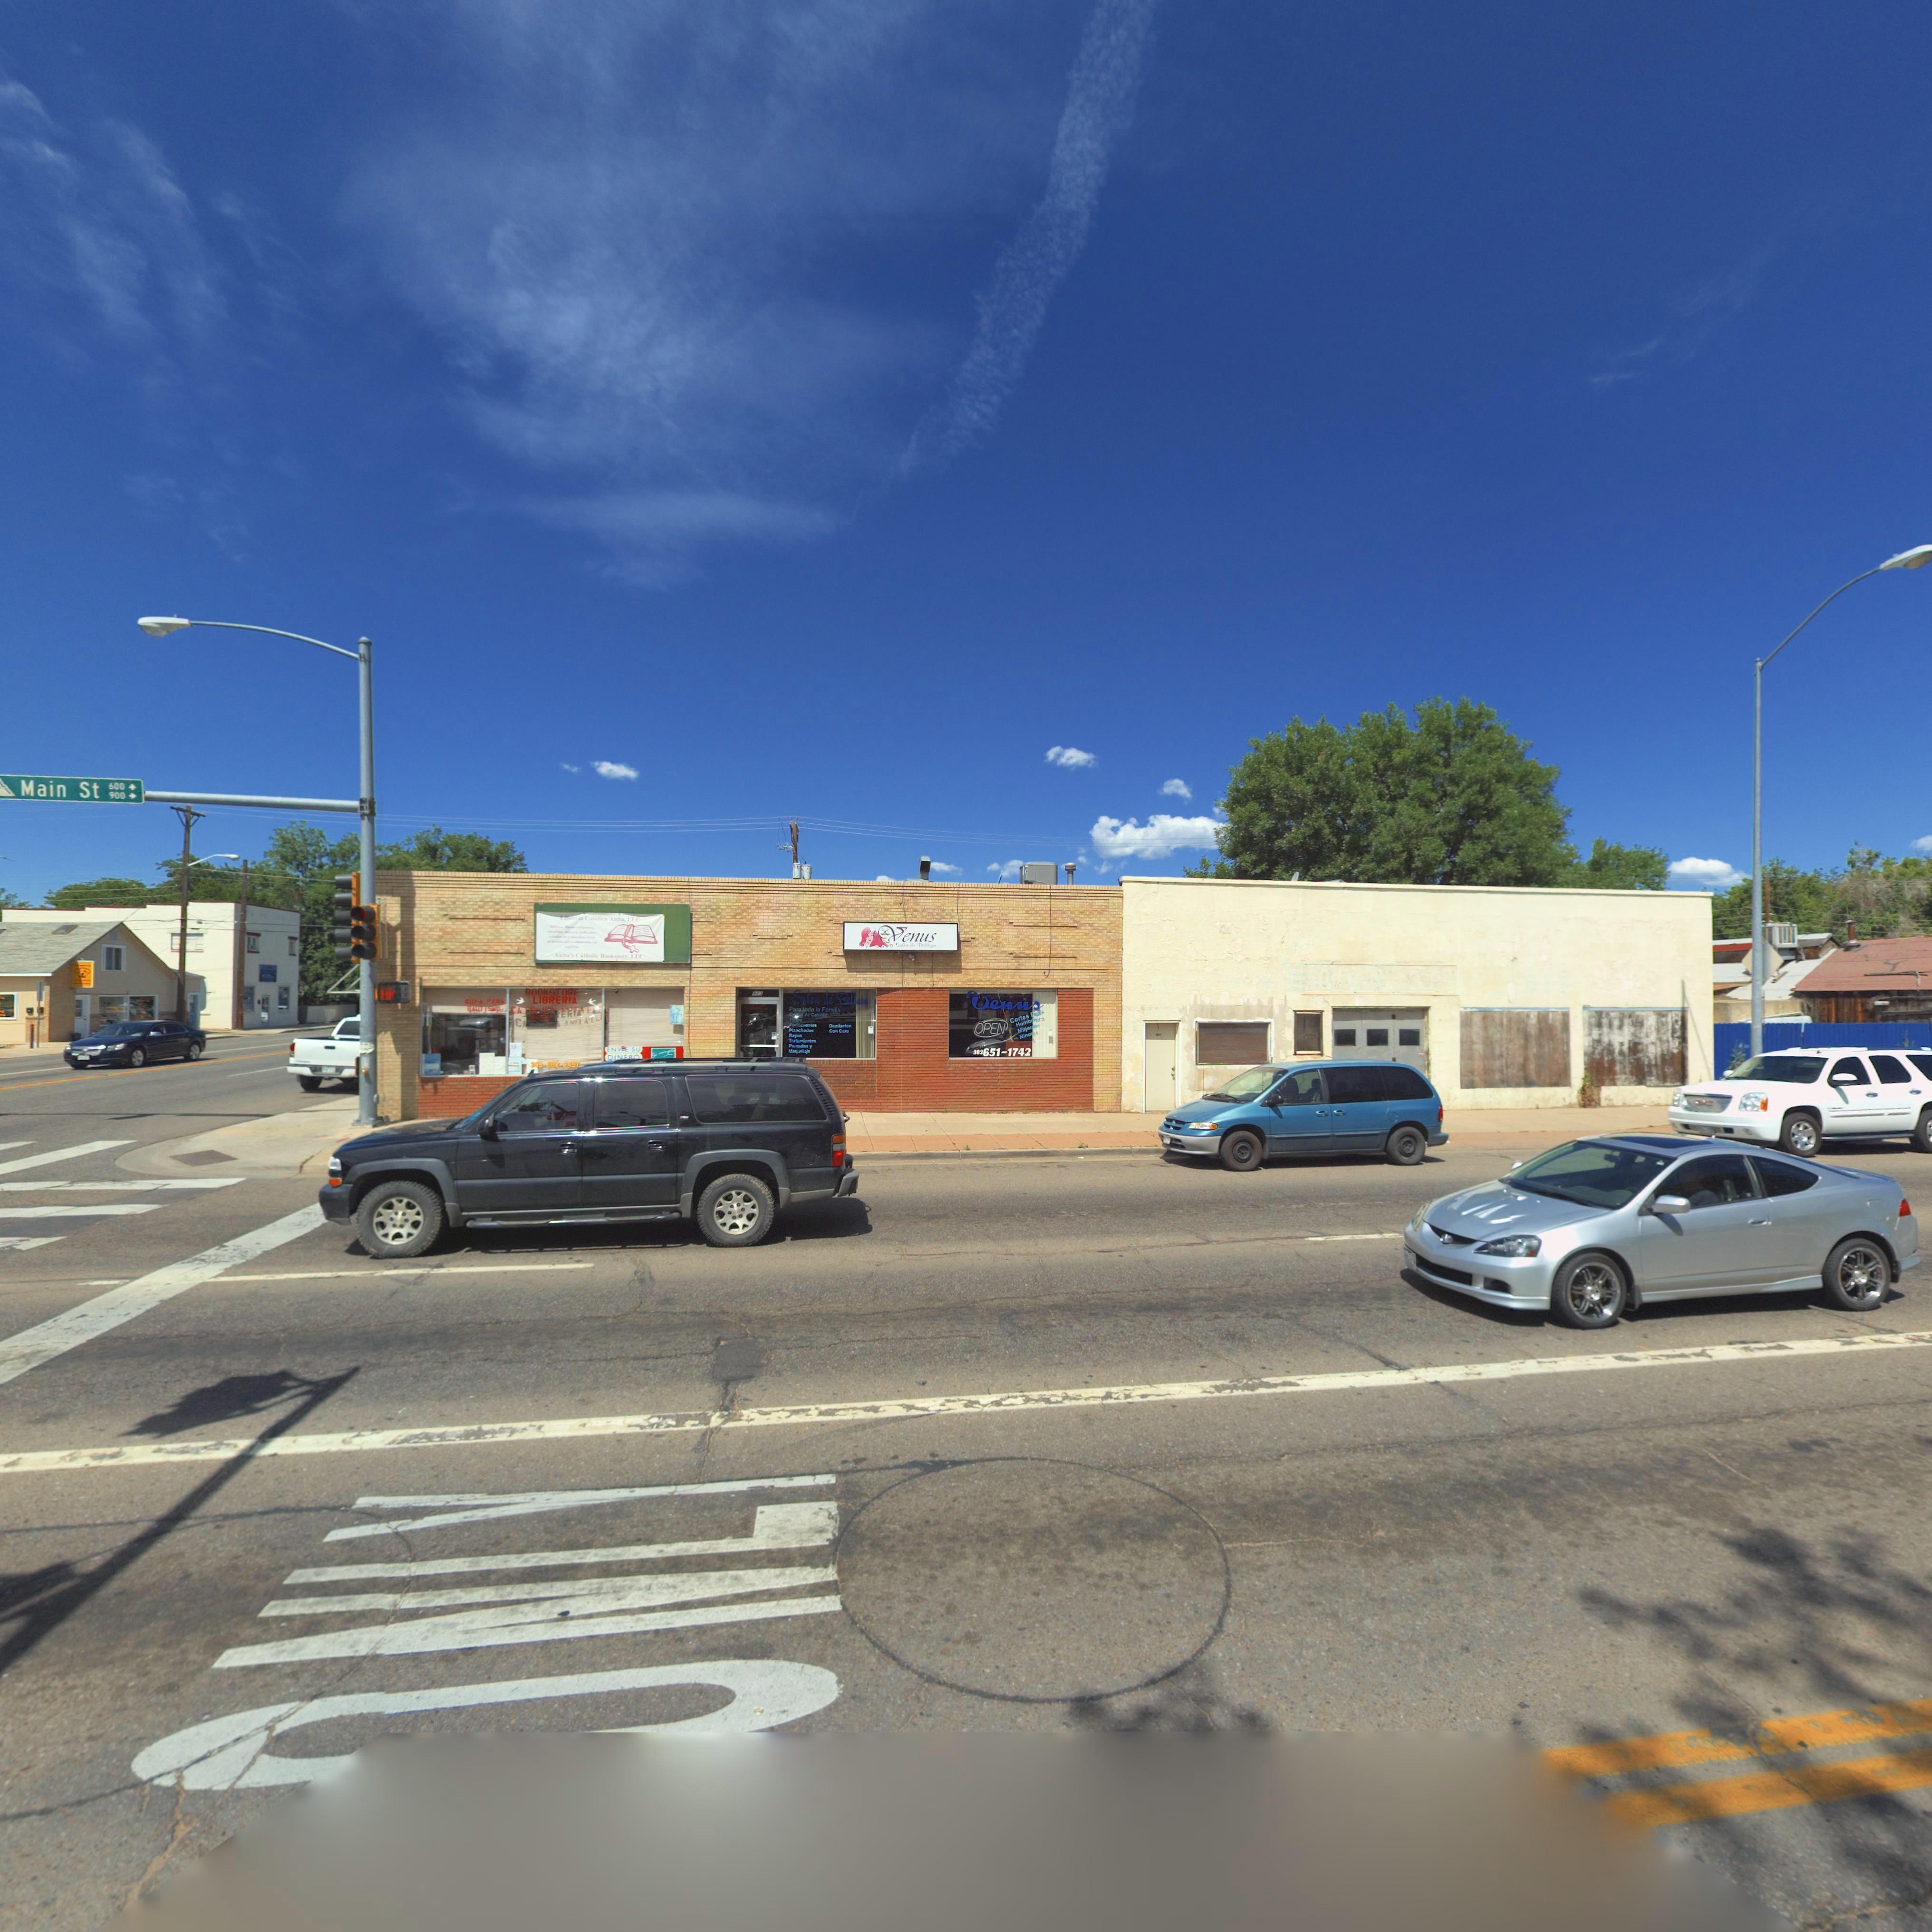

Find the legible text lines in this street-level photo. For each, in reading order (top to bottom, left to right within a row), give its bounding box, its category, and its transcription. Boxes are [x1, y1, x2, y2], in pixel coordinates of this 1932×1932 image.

[19, 778, 100, 799] StreetName: Main St
[108, 782, 126, 790] StreetNumberRange: 600
[108, 792, 138, 800] StreetNumberRange: 900->
[559, 914, 641, 923] BusinessName: L****** C******** A**** LLC
[887, 925, 937, 942] BusinessName: Venus
[553, 953, 644, 958] BusinessName: A****** C******* B******** LLC
[525, 988, 579, 996] BusinessName: BOOKSTORE
[752, 991, 763, 996] None: *0*
[532, 996, 578, 1004] BusinessName: LIBRERIA
[965, 990, 1044, 1010] BusinessName: Venus
[509, 1005, 556, 1015] BusinessName: CATOL*C*